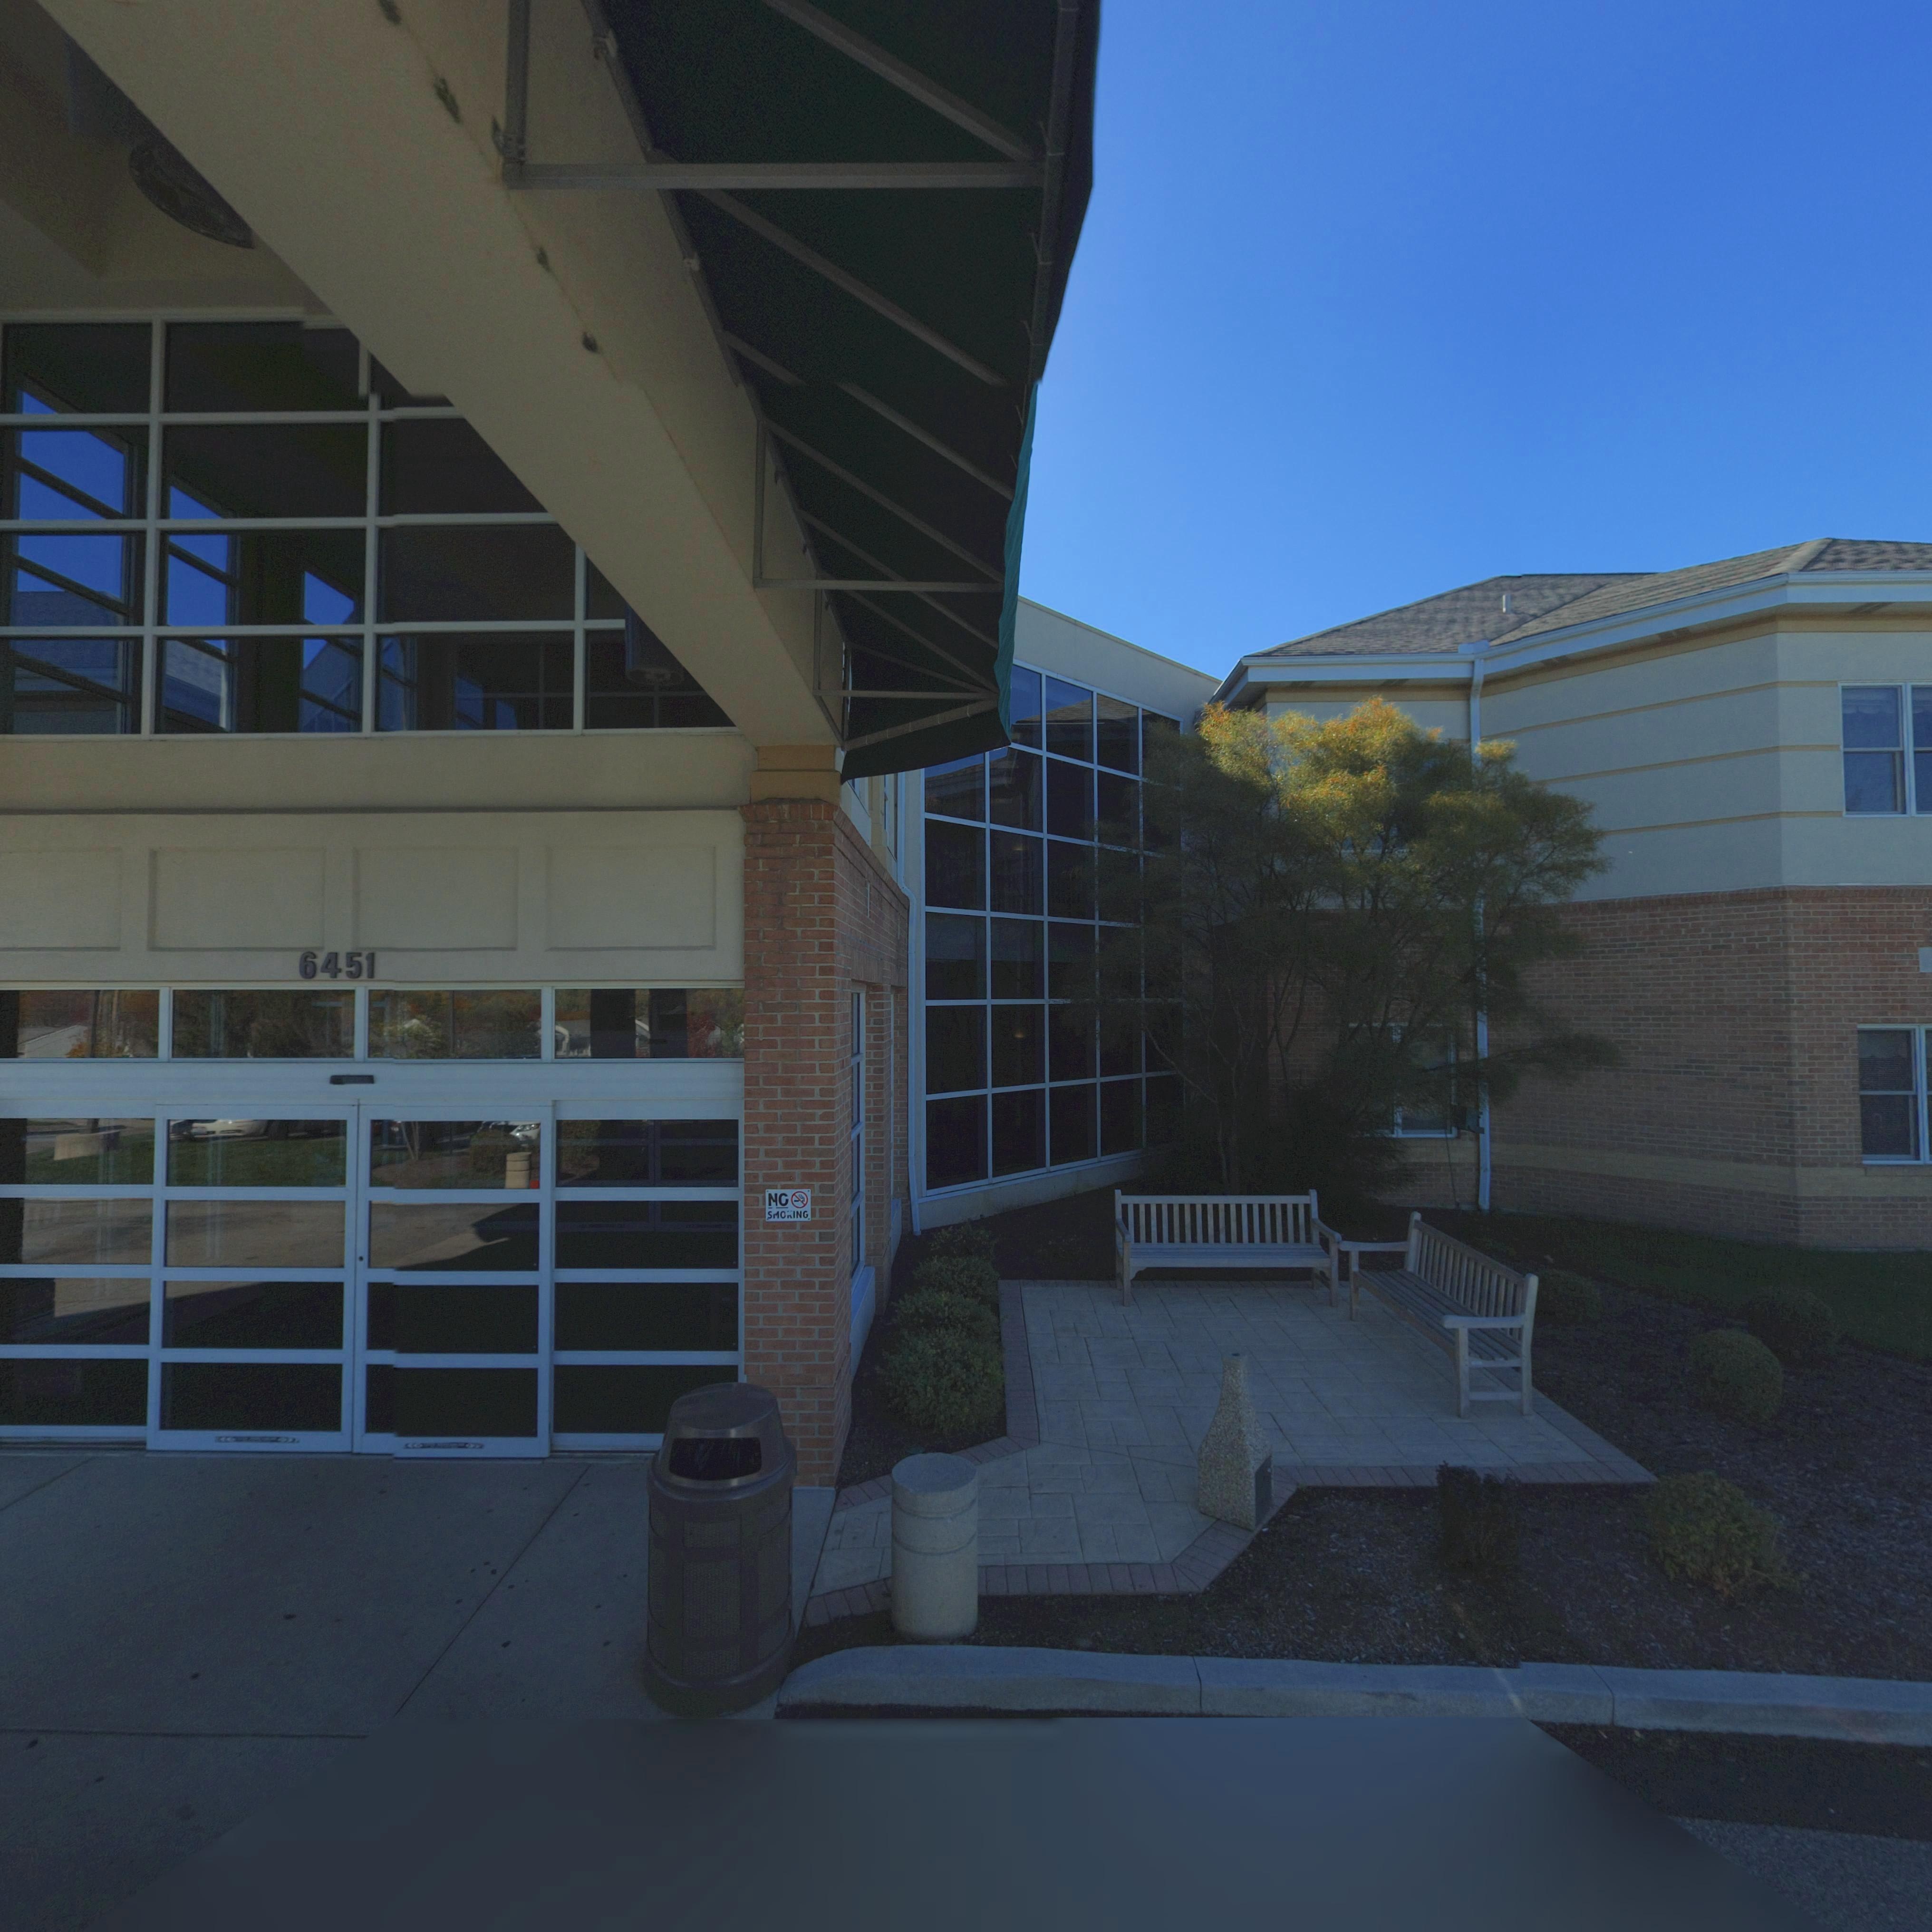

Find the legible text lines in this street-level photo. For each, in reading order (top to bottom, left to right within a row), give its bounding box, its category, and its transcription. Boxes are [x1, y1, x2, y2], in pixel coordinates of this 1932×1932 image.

[298, 949, 376, 980] StreetNumber: 6451
[767, 1192, 789, 1207] None: NO
[767, 1210, 809, 1219] None: S*O*ING